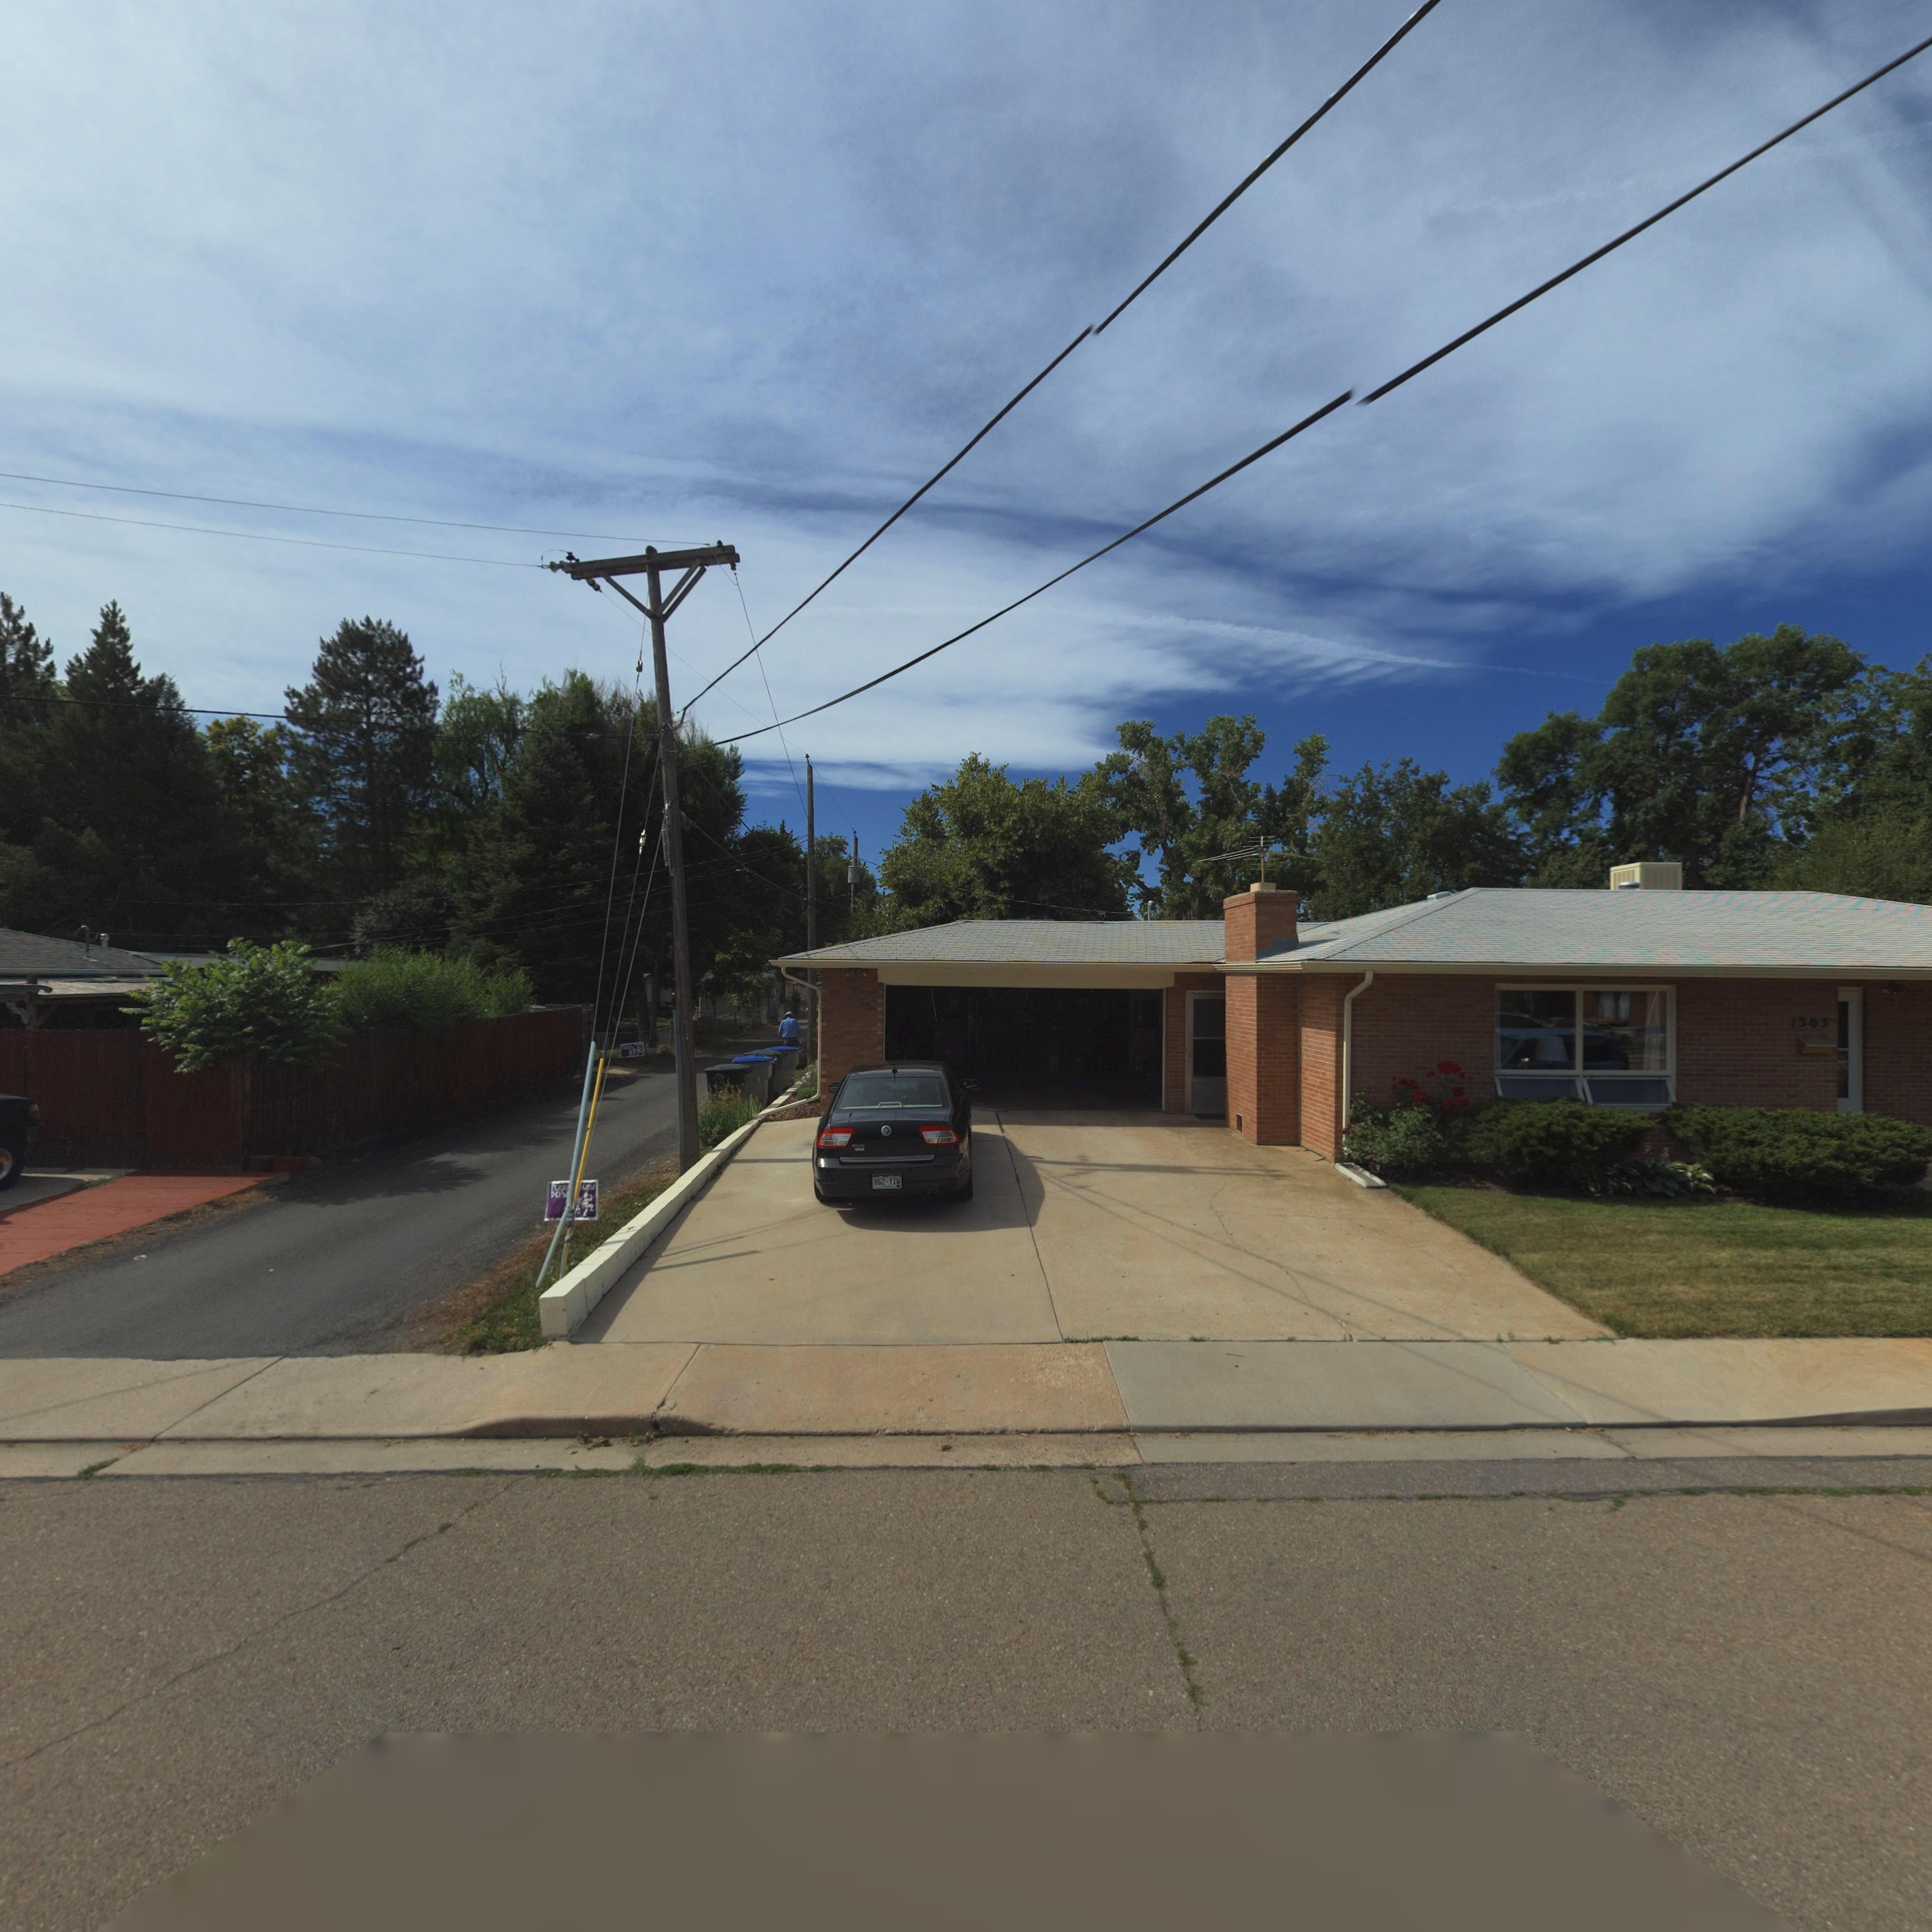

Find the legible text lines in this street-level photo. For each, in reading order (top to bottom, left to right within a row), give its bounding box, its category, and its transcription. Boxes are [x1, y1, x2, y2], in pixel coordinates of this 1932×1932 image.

[1791, 1015, 1829, 1029] StreetNumber: 1303